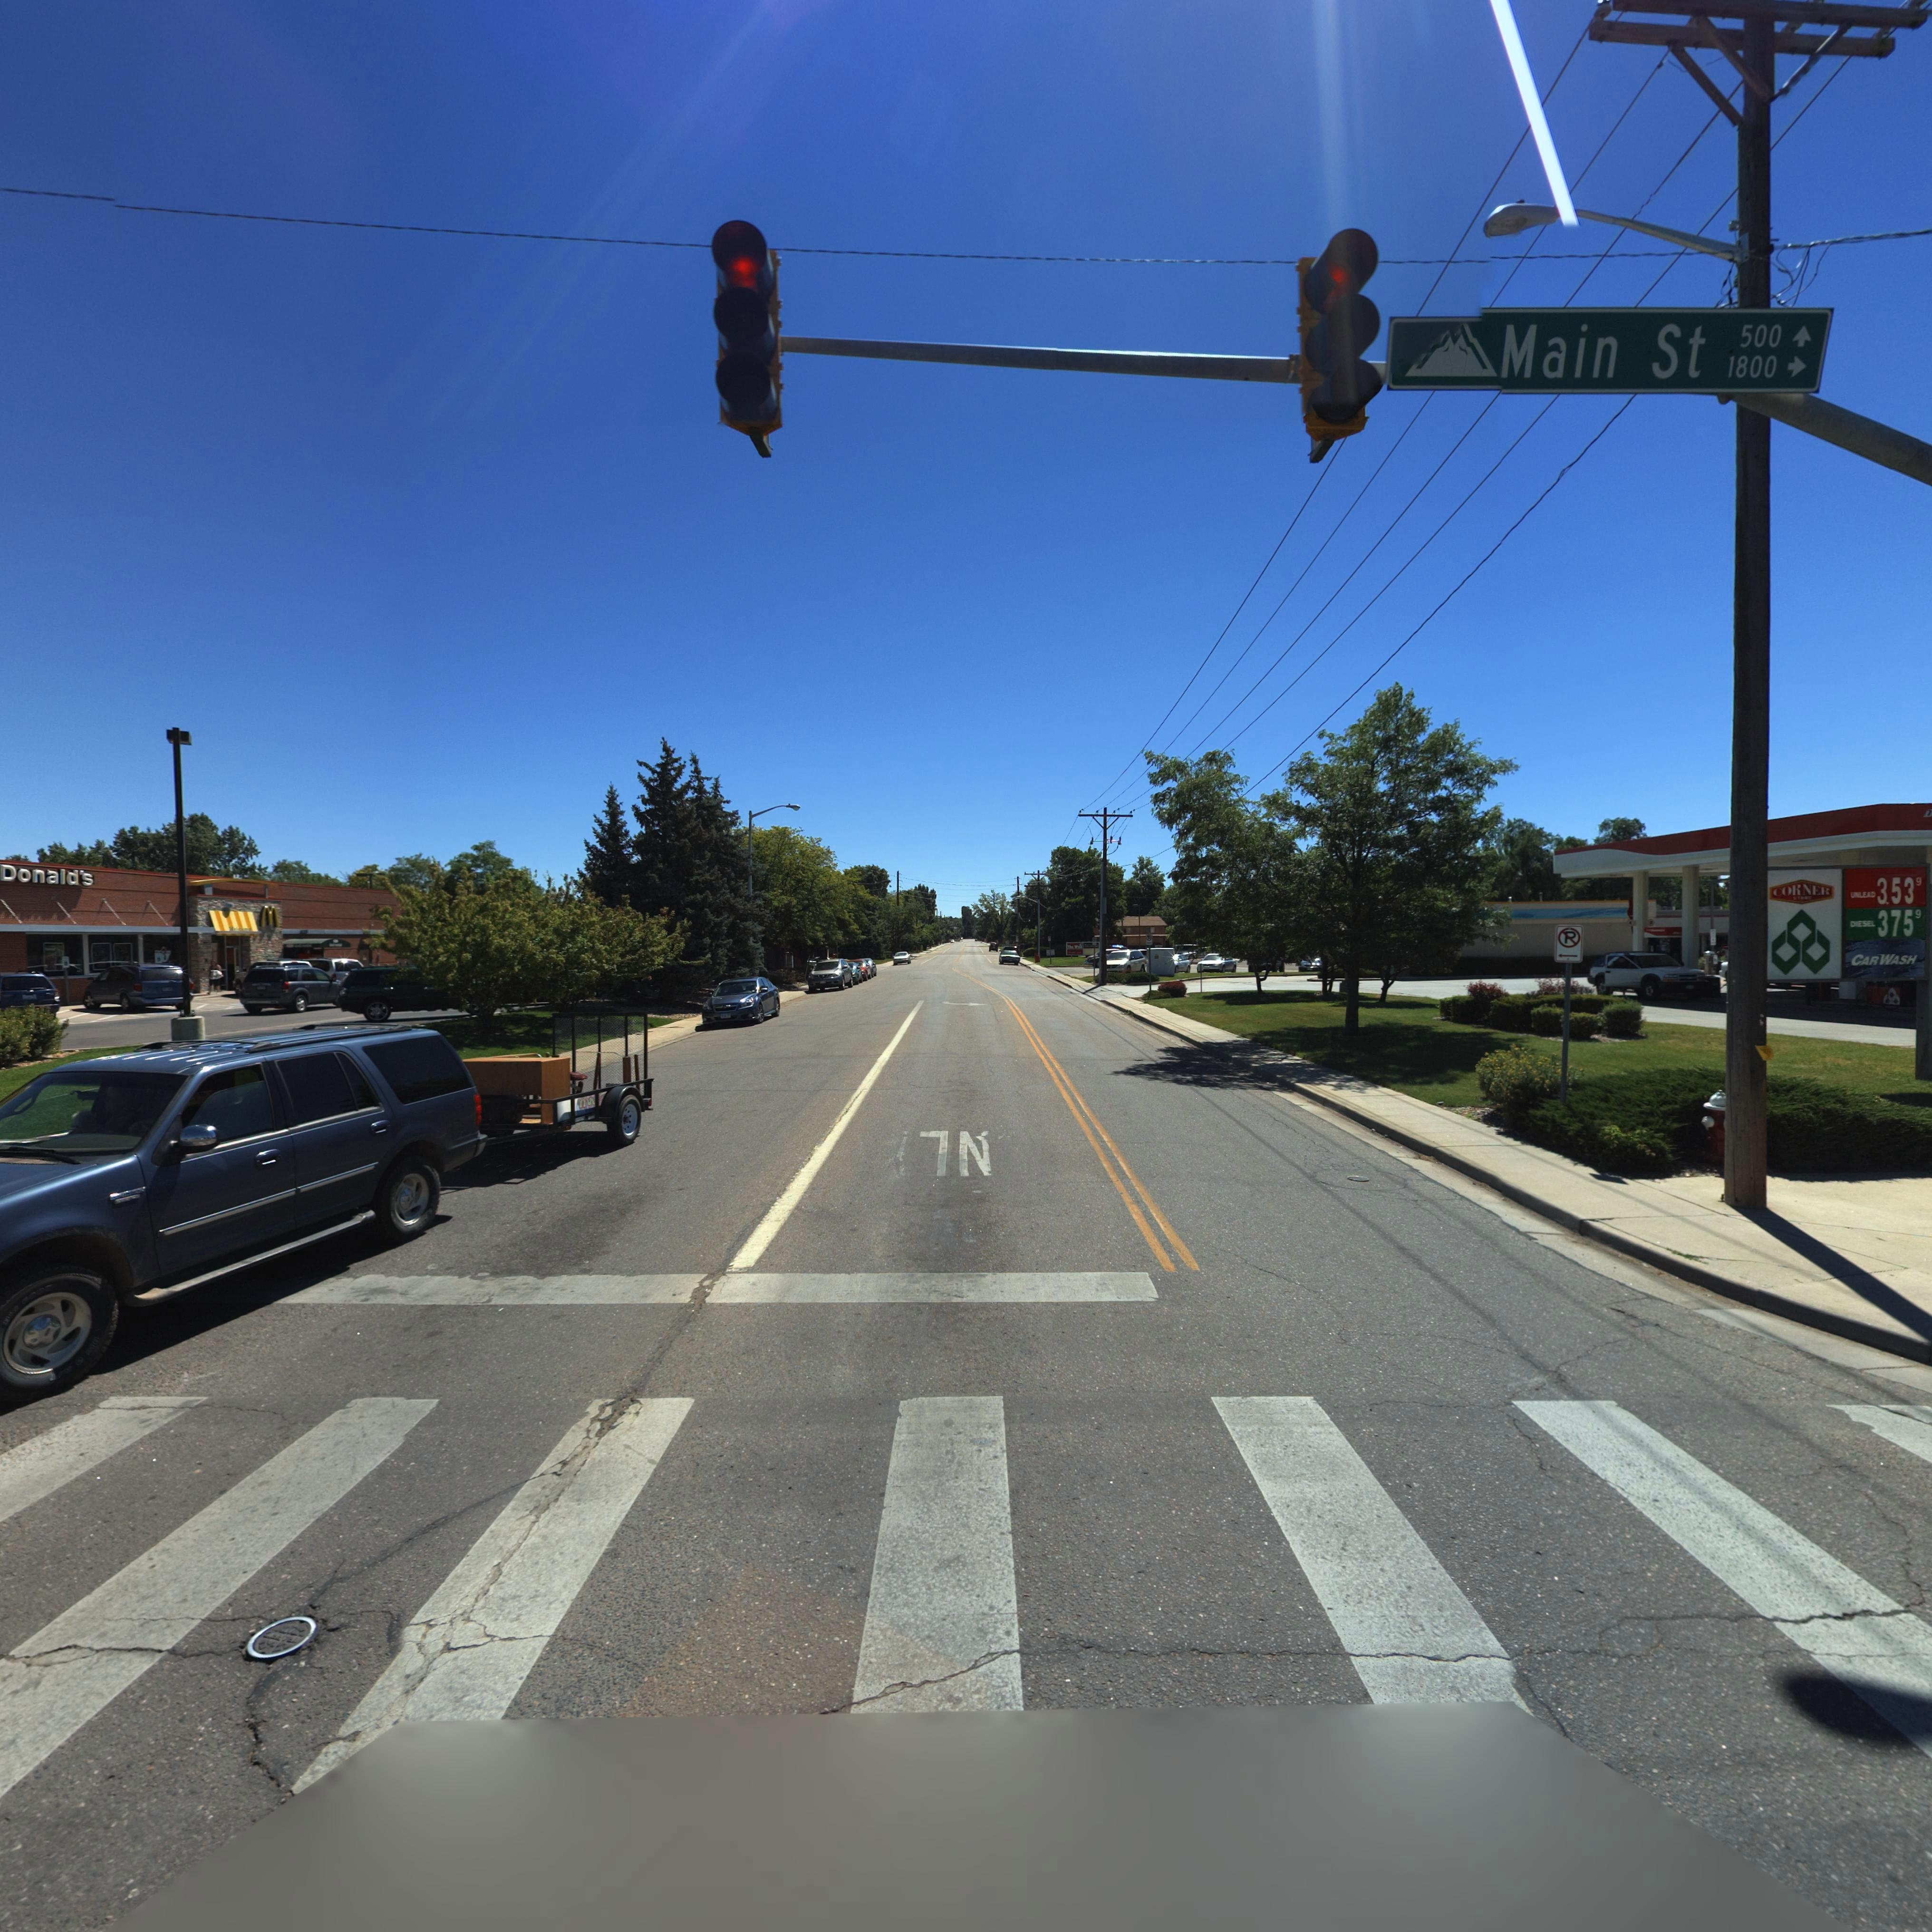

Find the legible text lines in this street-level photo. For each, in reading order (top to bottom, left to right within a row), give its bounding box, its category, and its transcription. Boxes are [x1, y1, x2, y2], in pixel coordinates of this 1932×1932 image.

[1739, 322, 1782, 349] StreetNumberRange: 500
[1499, 323, 1708, 379] StreetName: Main St
[1728, 354, 1809, 378] StreetNumberRange: 1800->
[0, 864, 94, 887] BusinessName: Donald's
[1773, 882, 1831, 897] BusinessName: CORNER